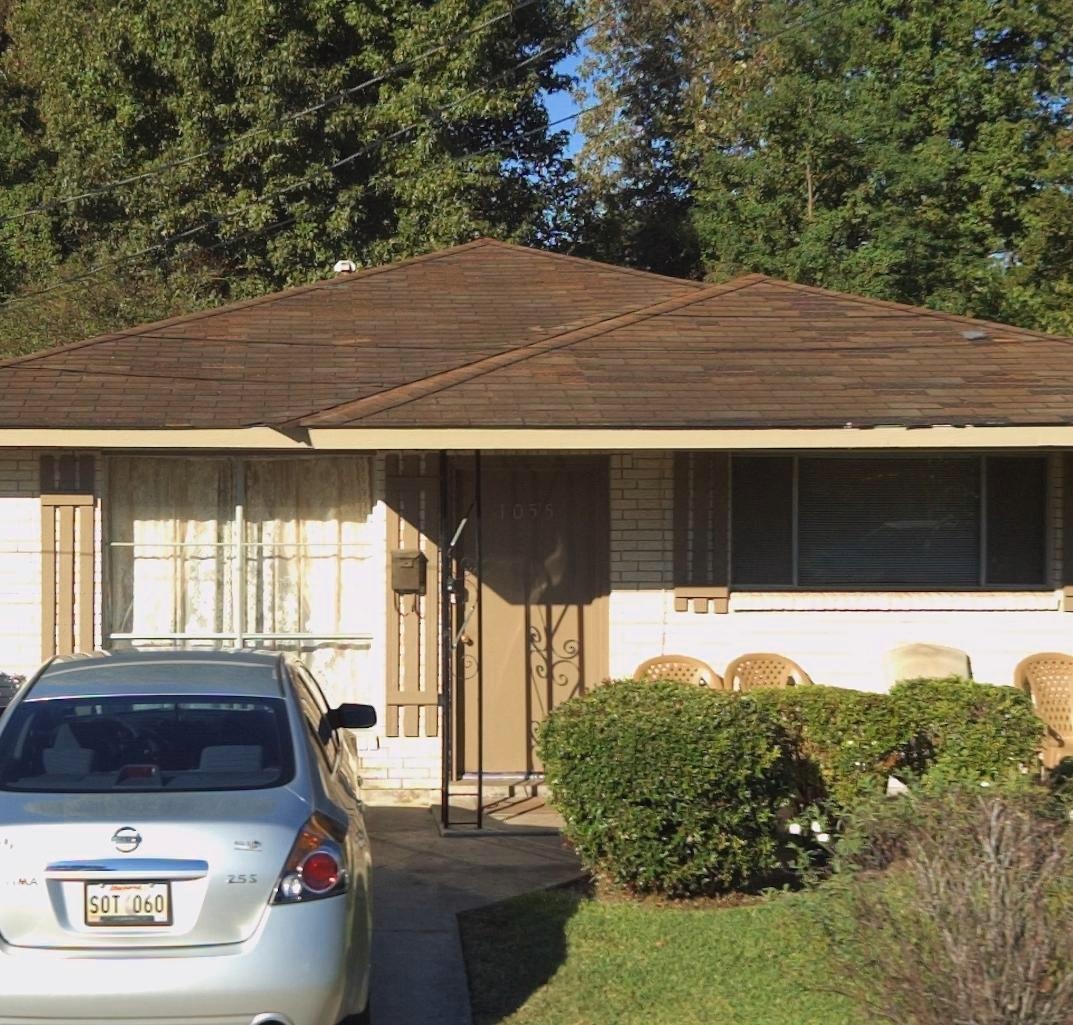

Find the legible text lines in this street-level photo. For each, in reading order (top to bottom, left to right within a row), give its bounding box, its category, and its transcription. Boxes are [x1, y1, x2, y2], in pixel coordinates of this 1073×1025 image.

[498, 501, 555, 521] StreetNumber: 1055
[16, 876, 40, 887] None: MA
[224, 871, 260, 885] None: 255
[88, 893, 166, 916] None: SOT 060